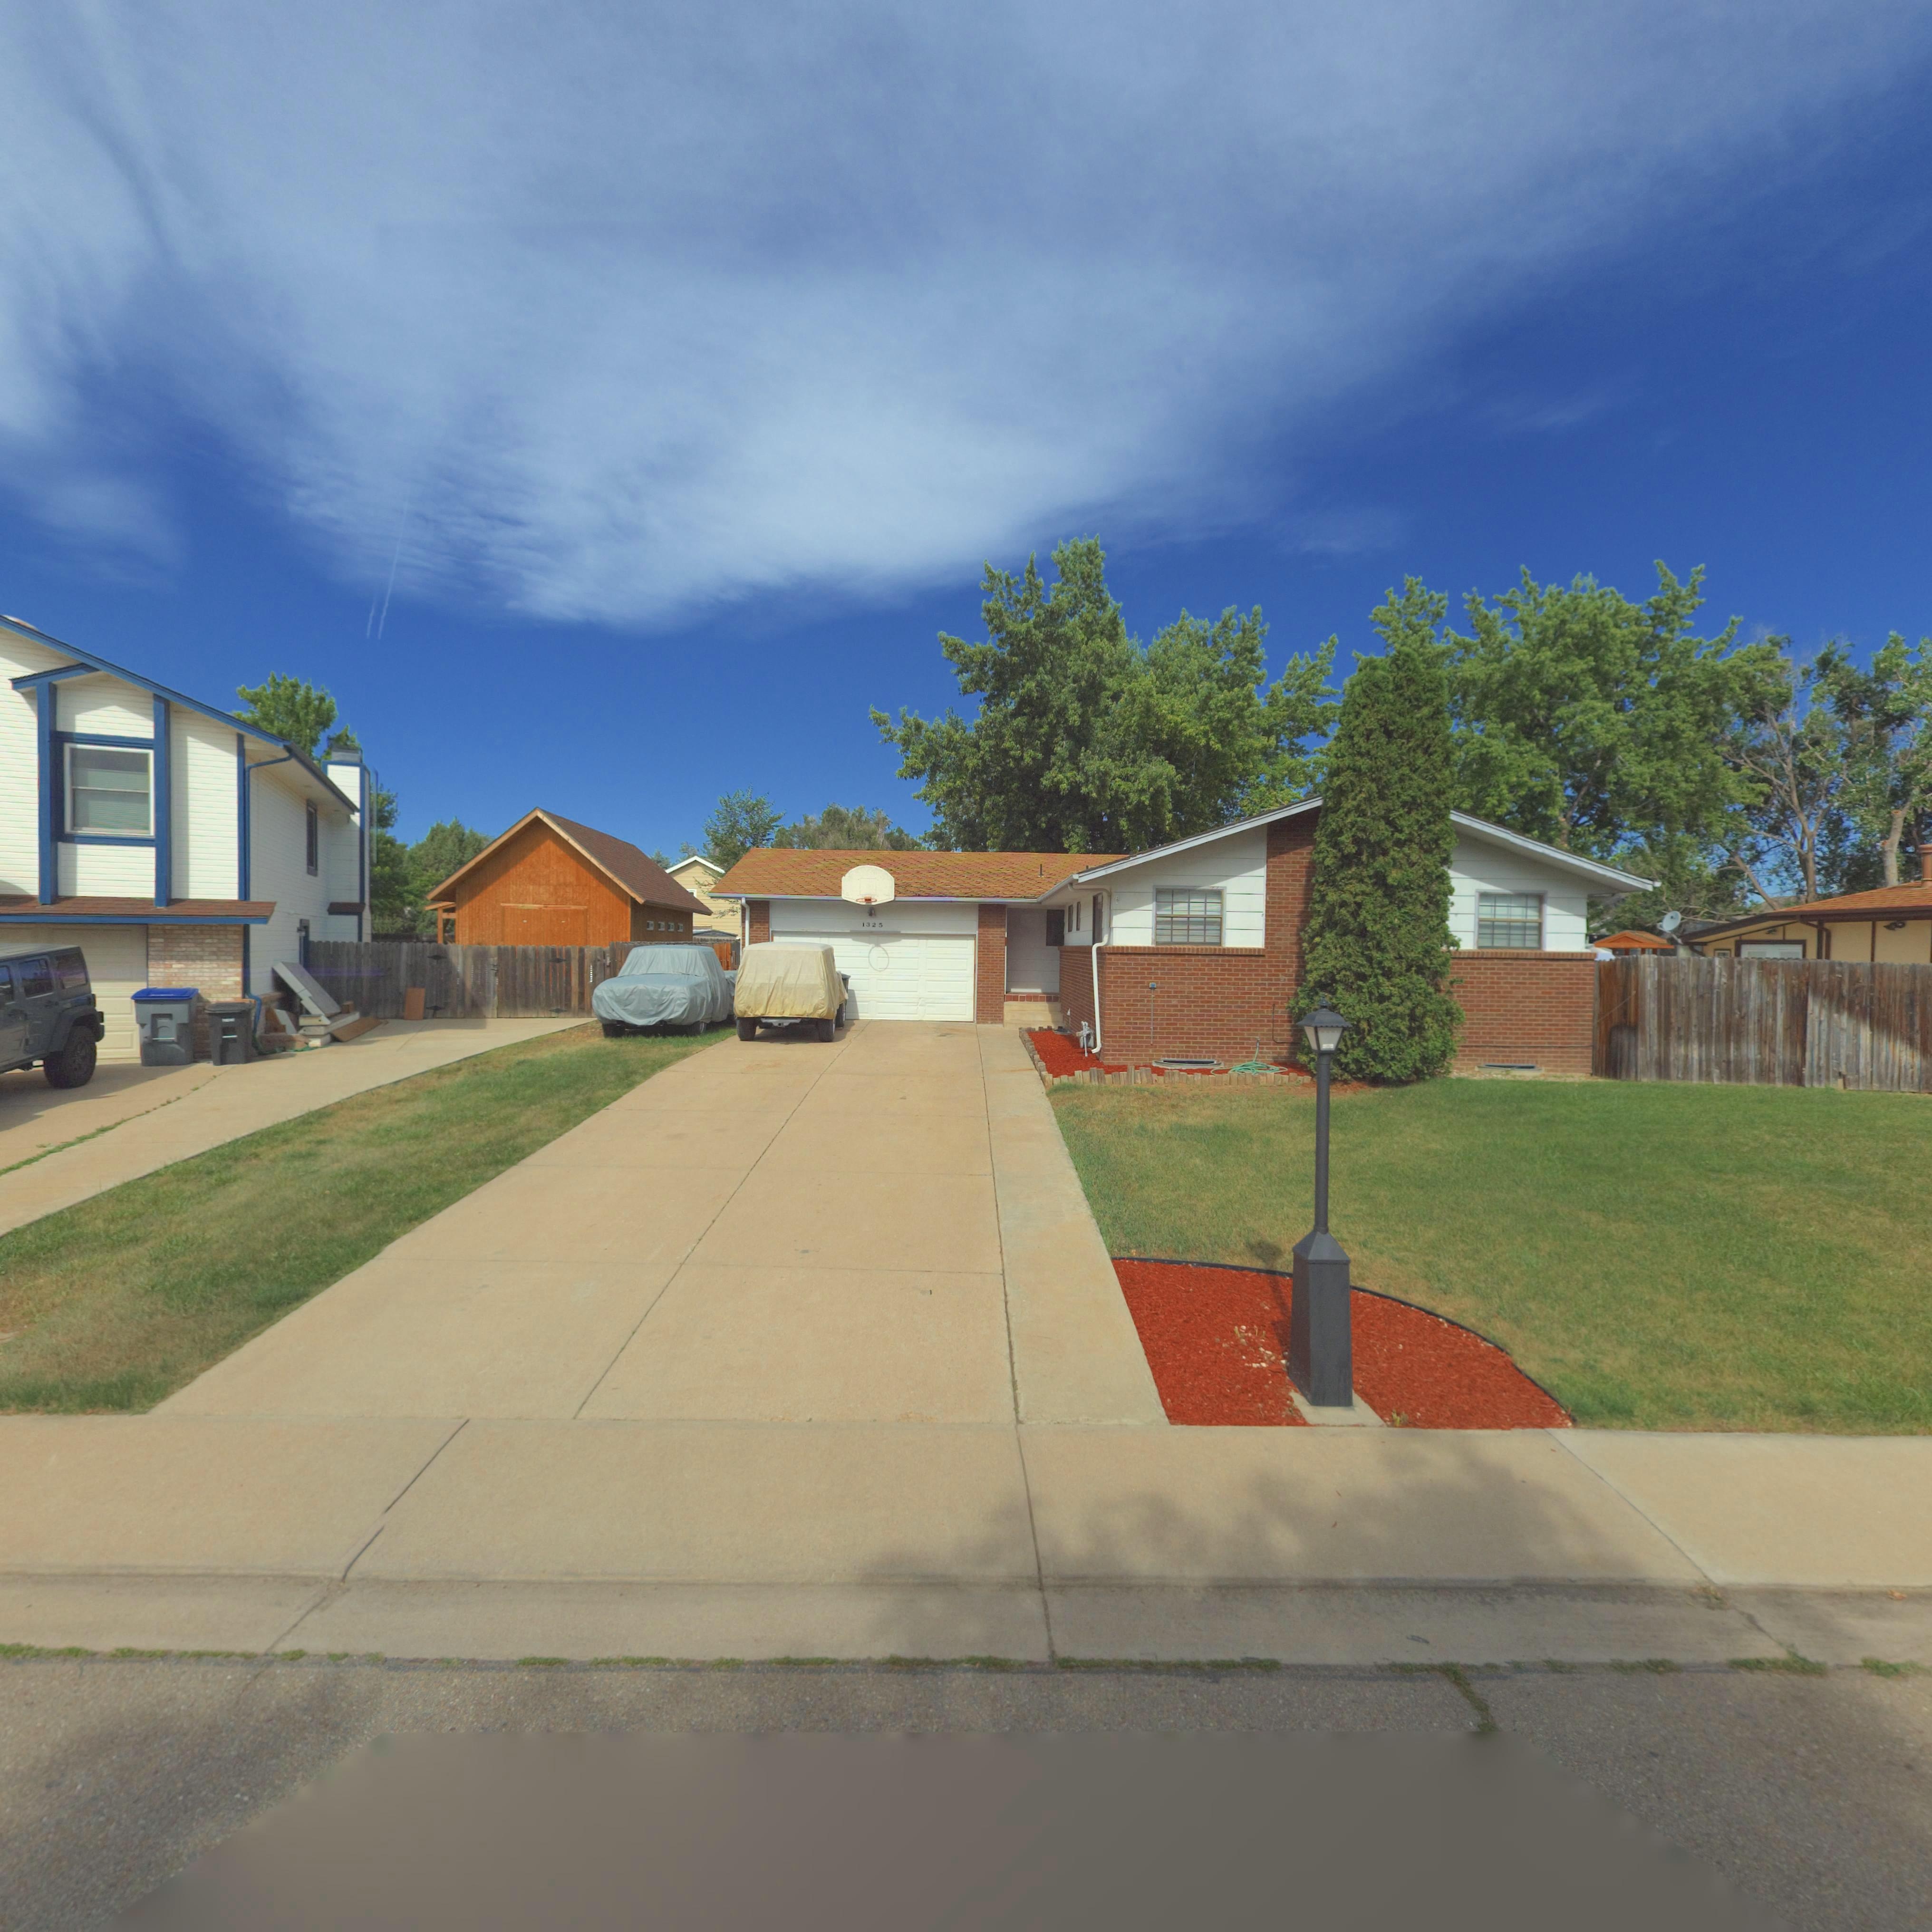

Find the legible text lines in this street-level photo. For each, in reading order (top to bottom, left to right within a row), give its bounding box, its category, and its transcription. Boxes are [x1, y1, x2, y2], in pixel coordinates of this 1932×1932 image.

[861, 921, 883, 928] StreetNumber: 1325